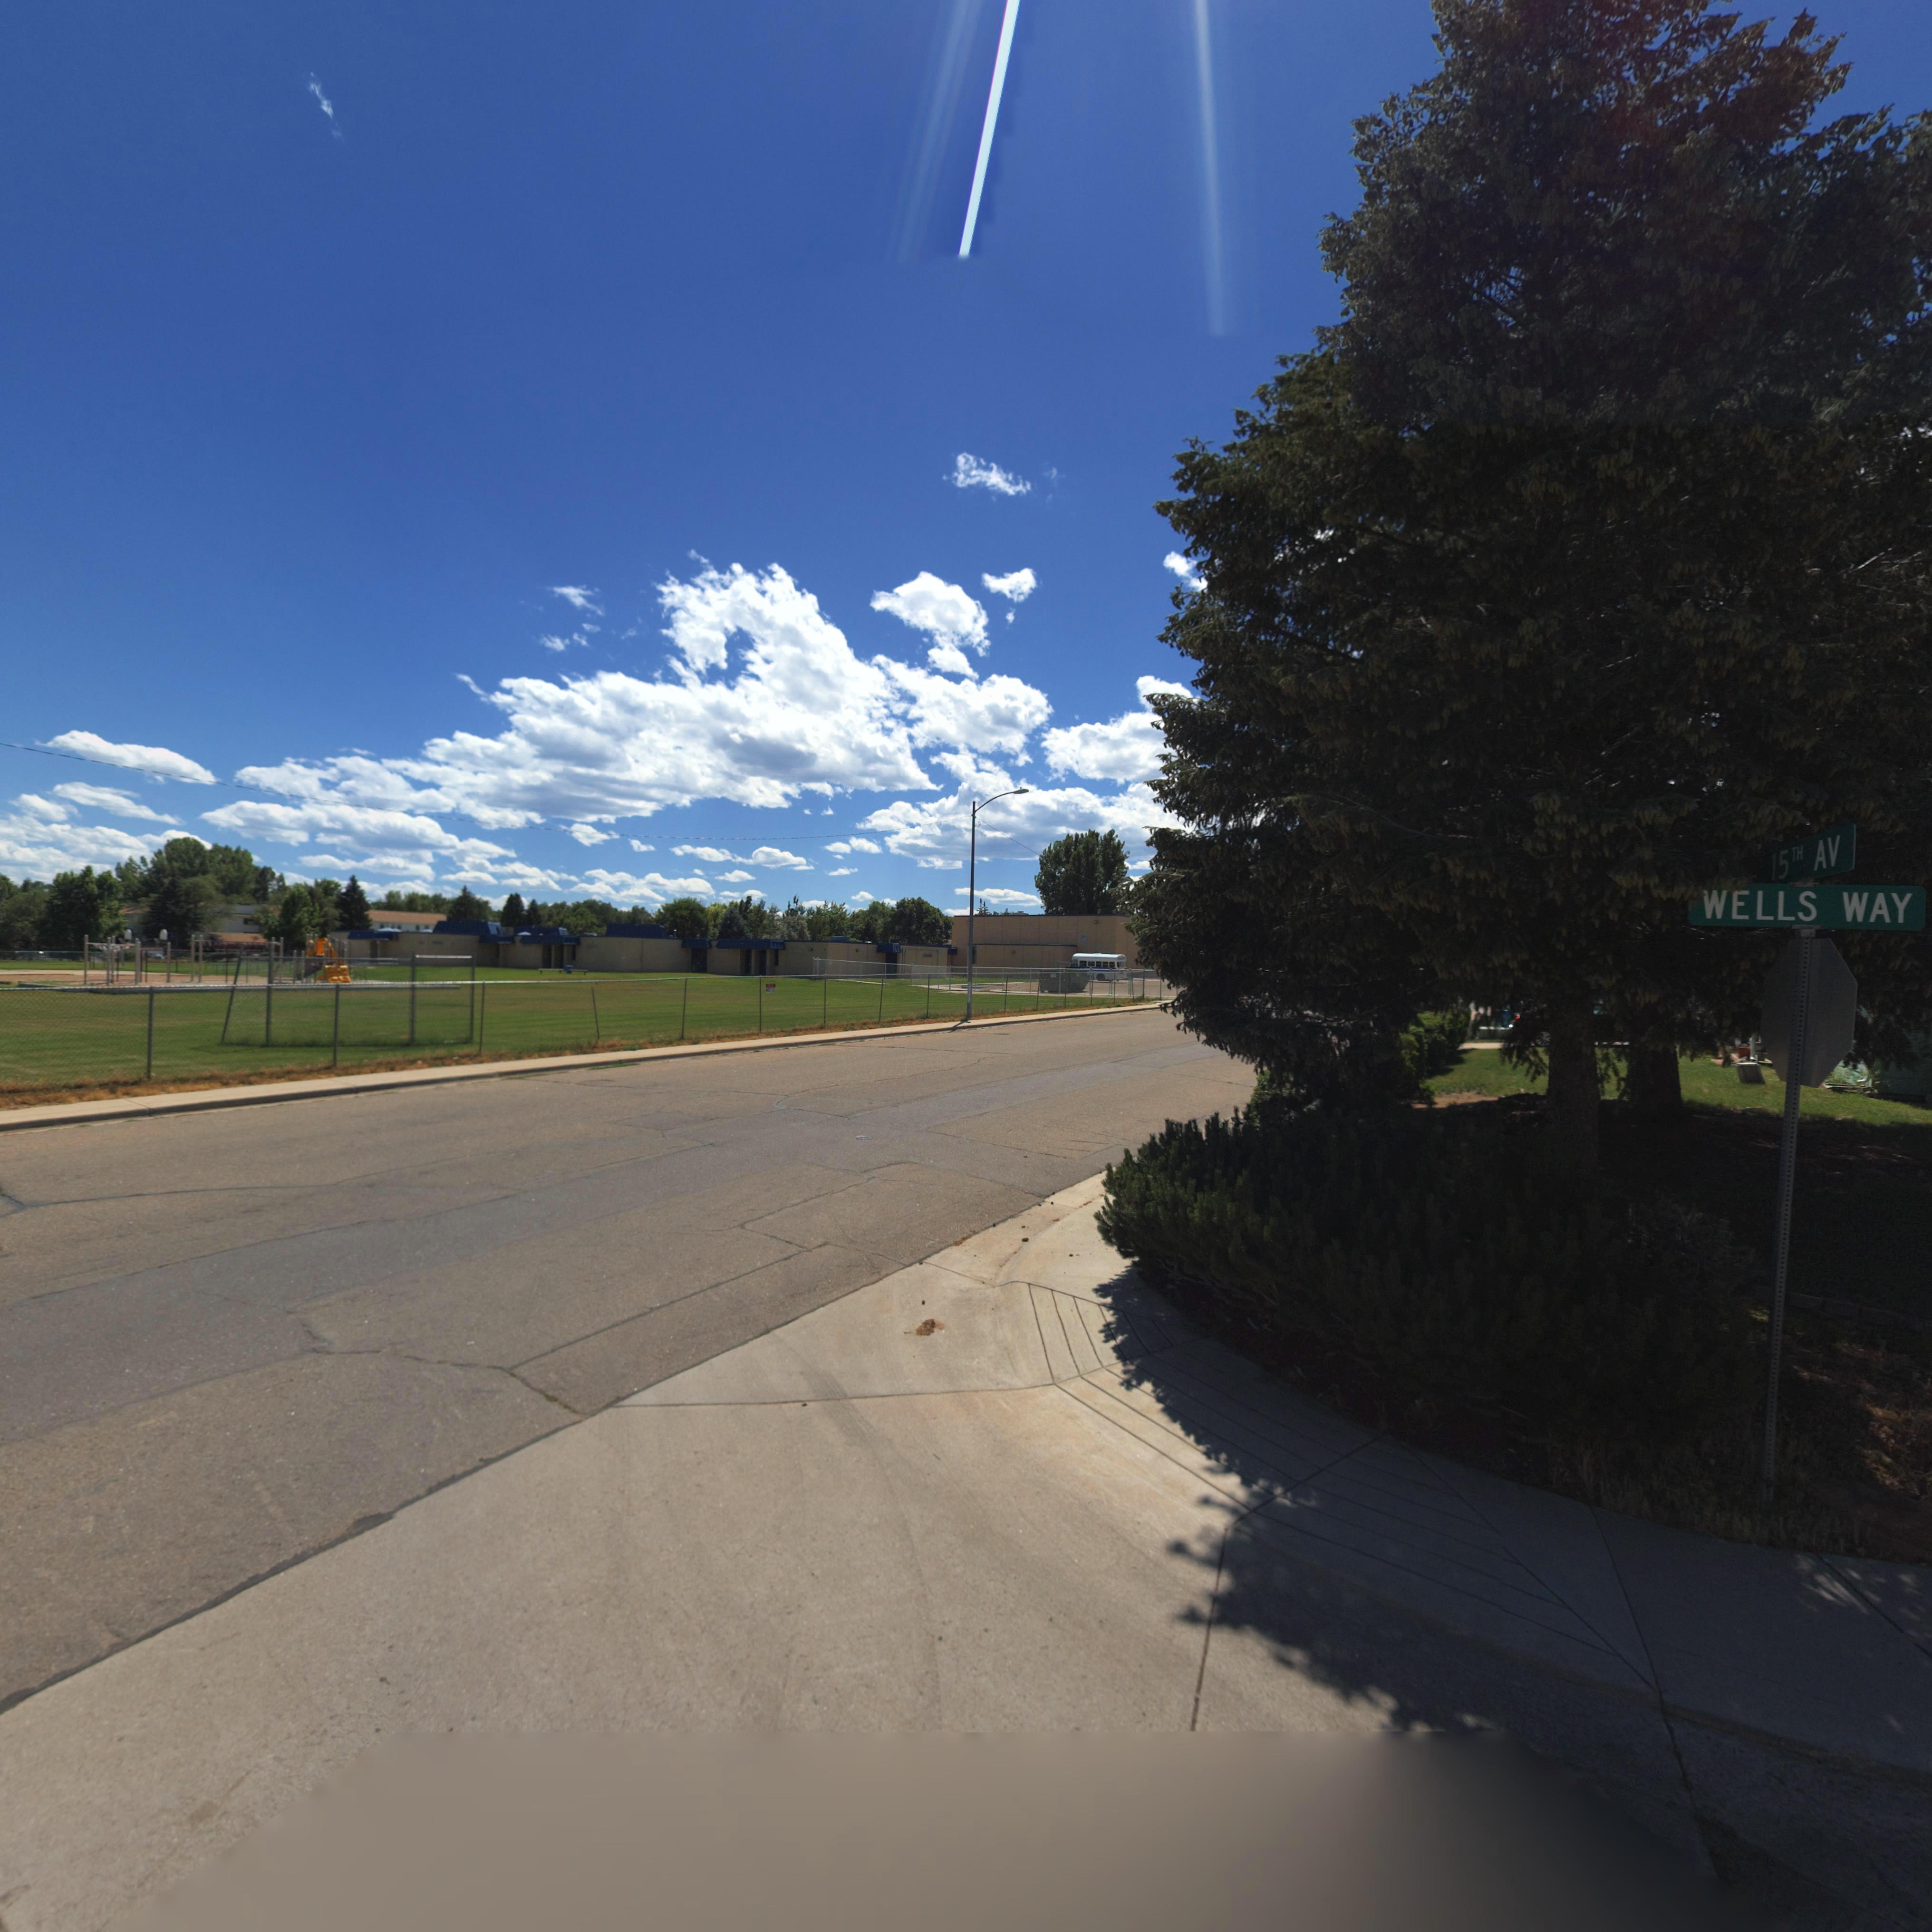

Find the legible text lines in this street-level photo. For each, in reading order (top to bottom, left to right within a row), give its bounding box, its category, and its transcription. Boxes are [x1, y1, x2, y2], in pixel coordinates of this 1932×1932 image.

[1770, 832, 1841, 882] StreetName: 15TH AV
[1701, 889, 1913, 924] StreetName: WELLS WAY